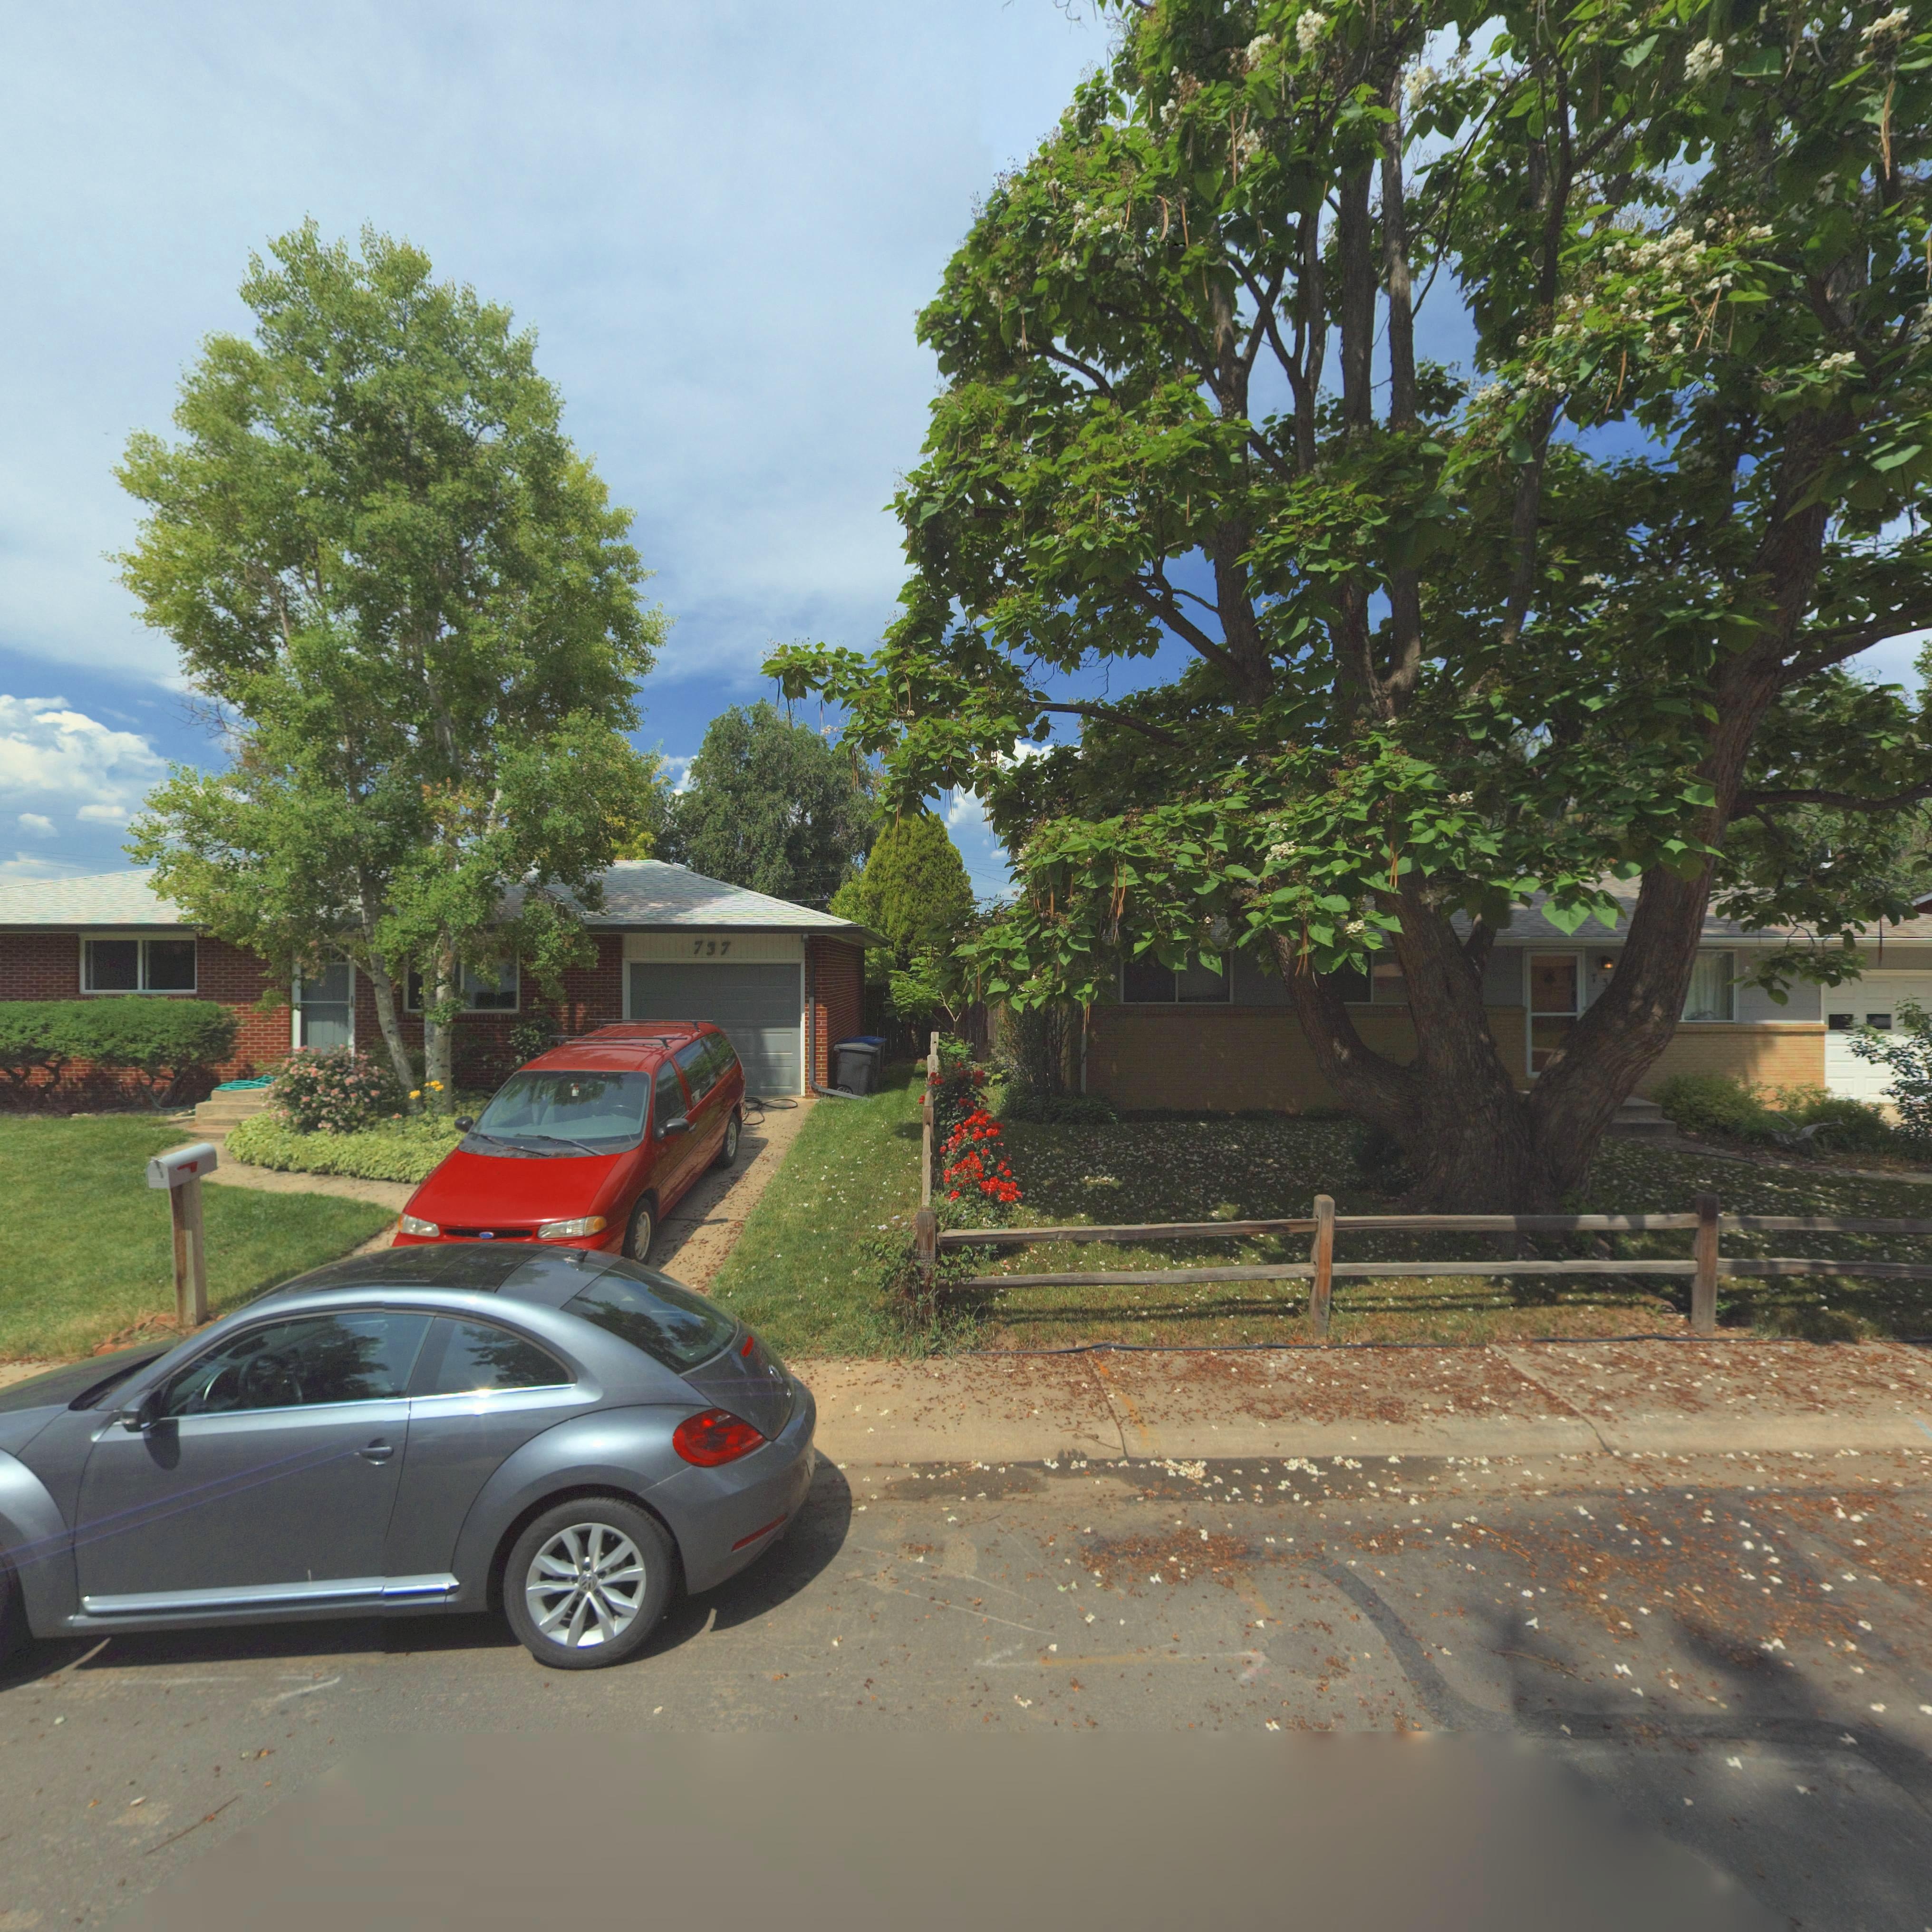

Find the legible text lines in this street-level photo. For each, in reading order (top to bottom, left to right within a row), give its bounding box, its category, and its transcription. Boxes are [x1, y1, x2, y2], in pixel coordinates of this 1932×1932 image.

[693, 939, 732, 956] StreetNumber: 737
[1590, 973, 1609, 987] StreetNumber: 73